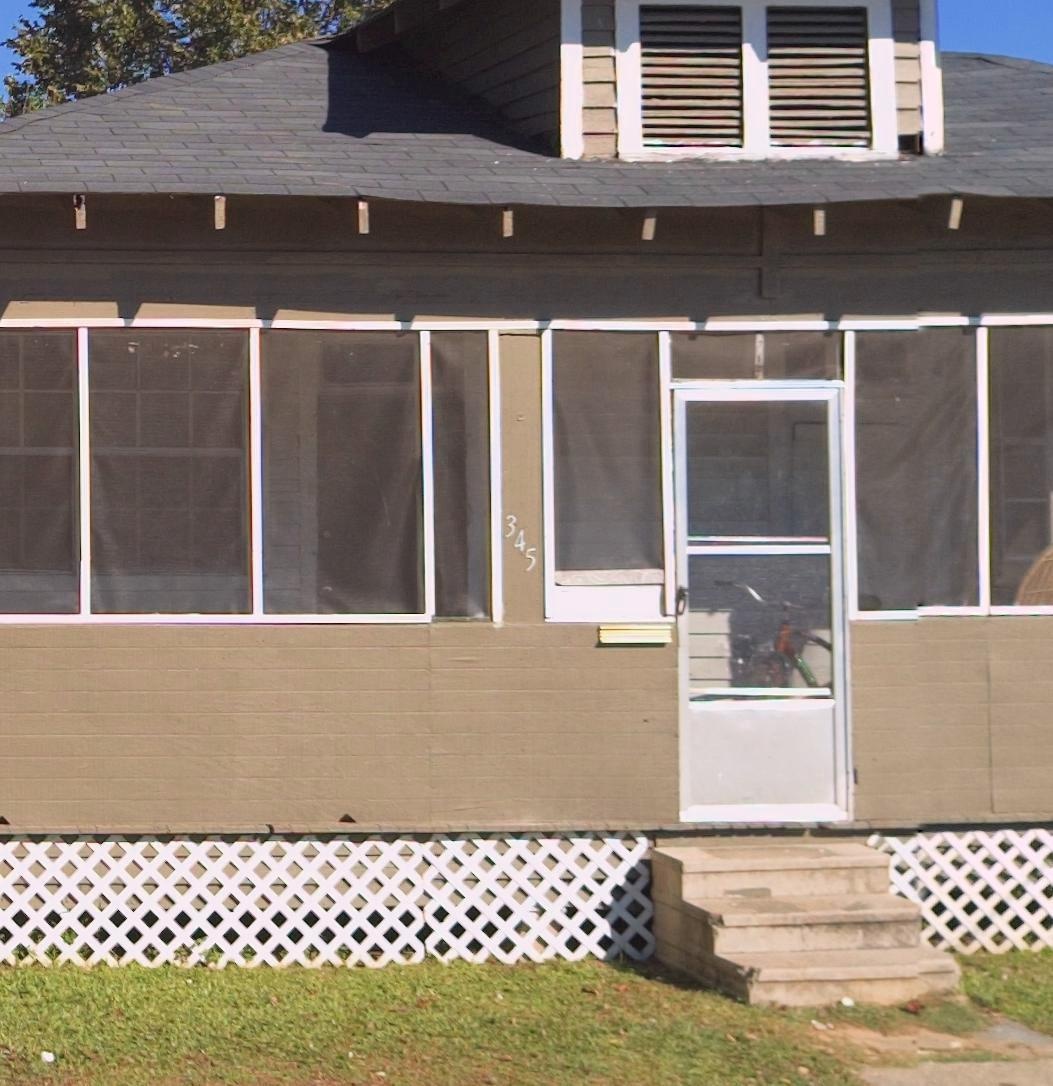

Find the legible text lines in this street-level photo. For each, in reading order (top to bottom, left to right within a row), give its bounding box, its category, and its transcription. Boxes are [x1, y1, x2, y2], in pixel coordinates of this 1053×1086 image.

[500, 502, 541, 588] StreetNumber: 345